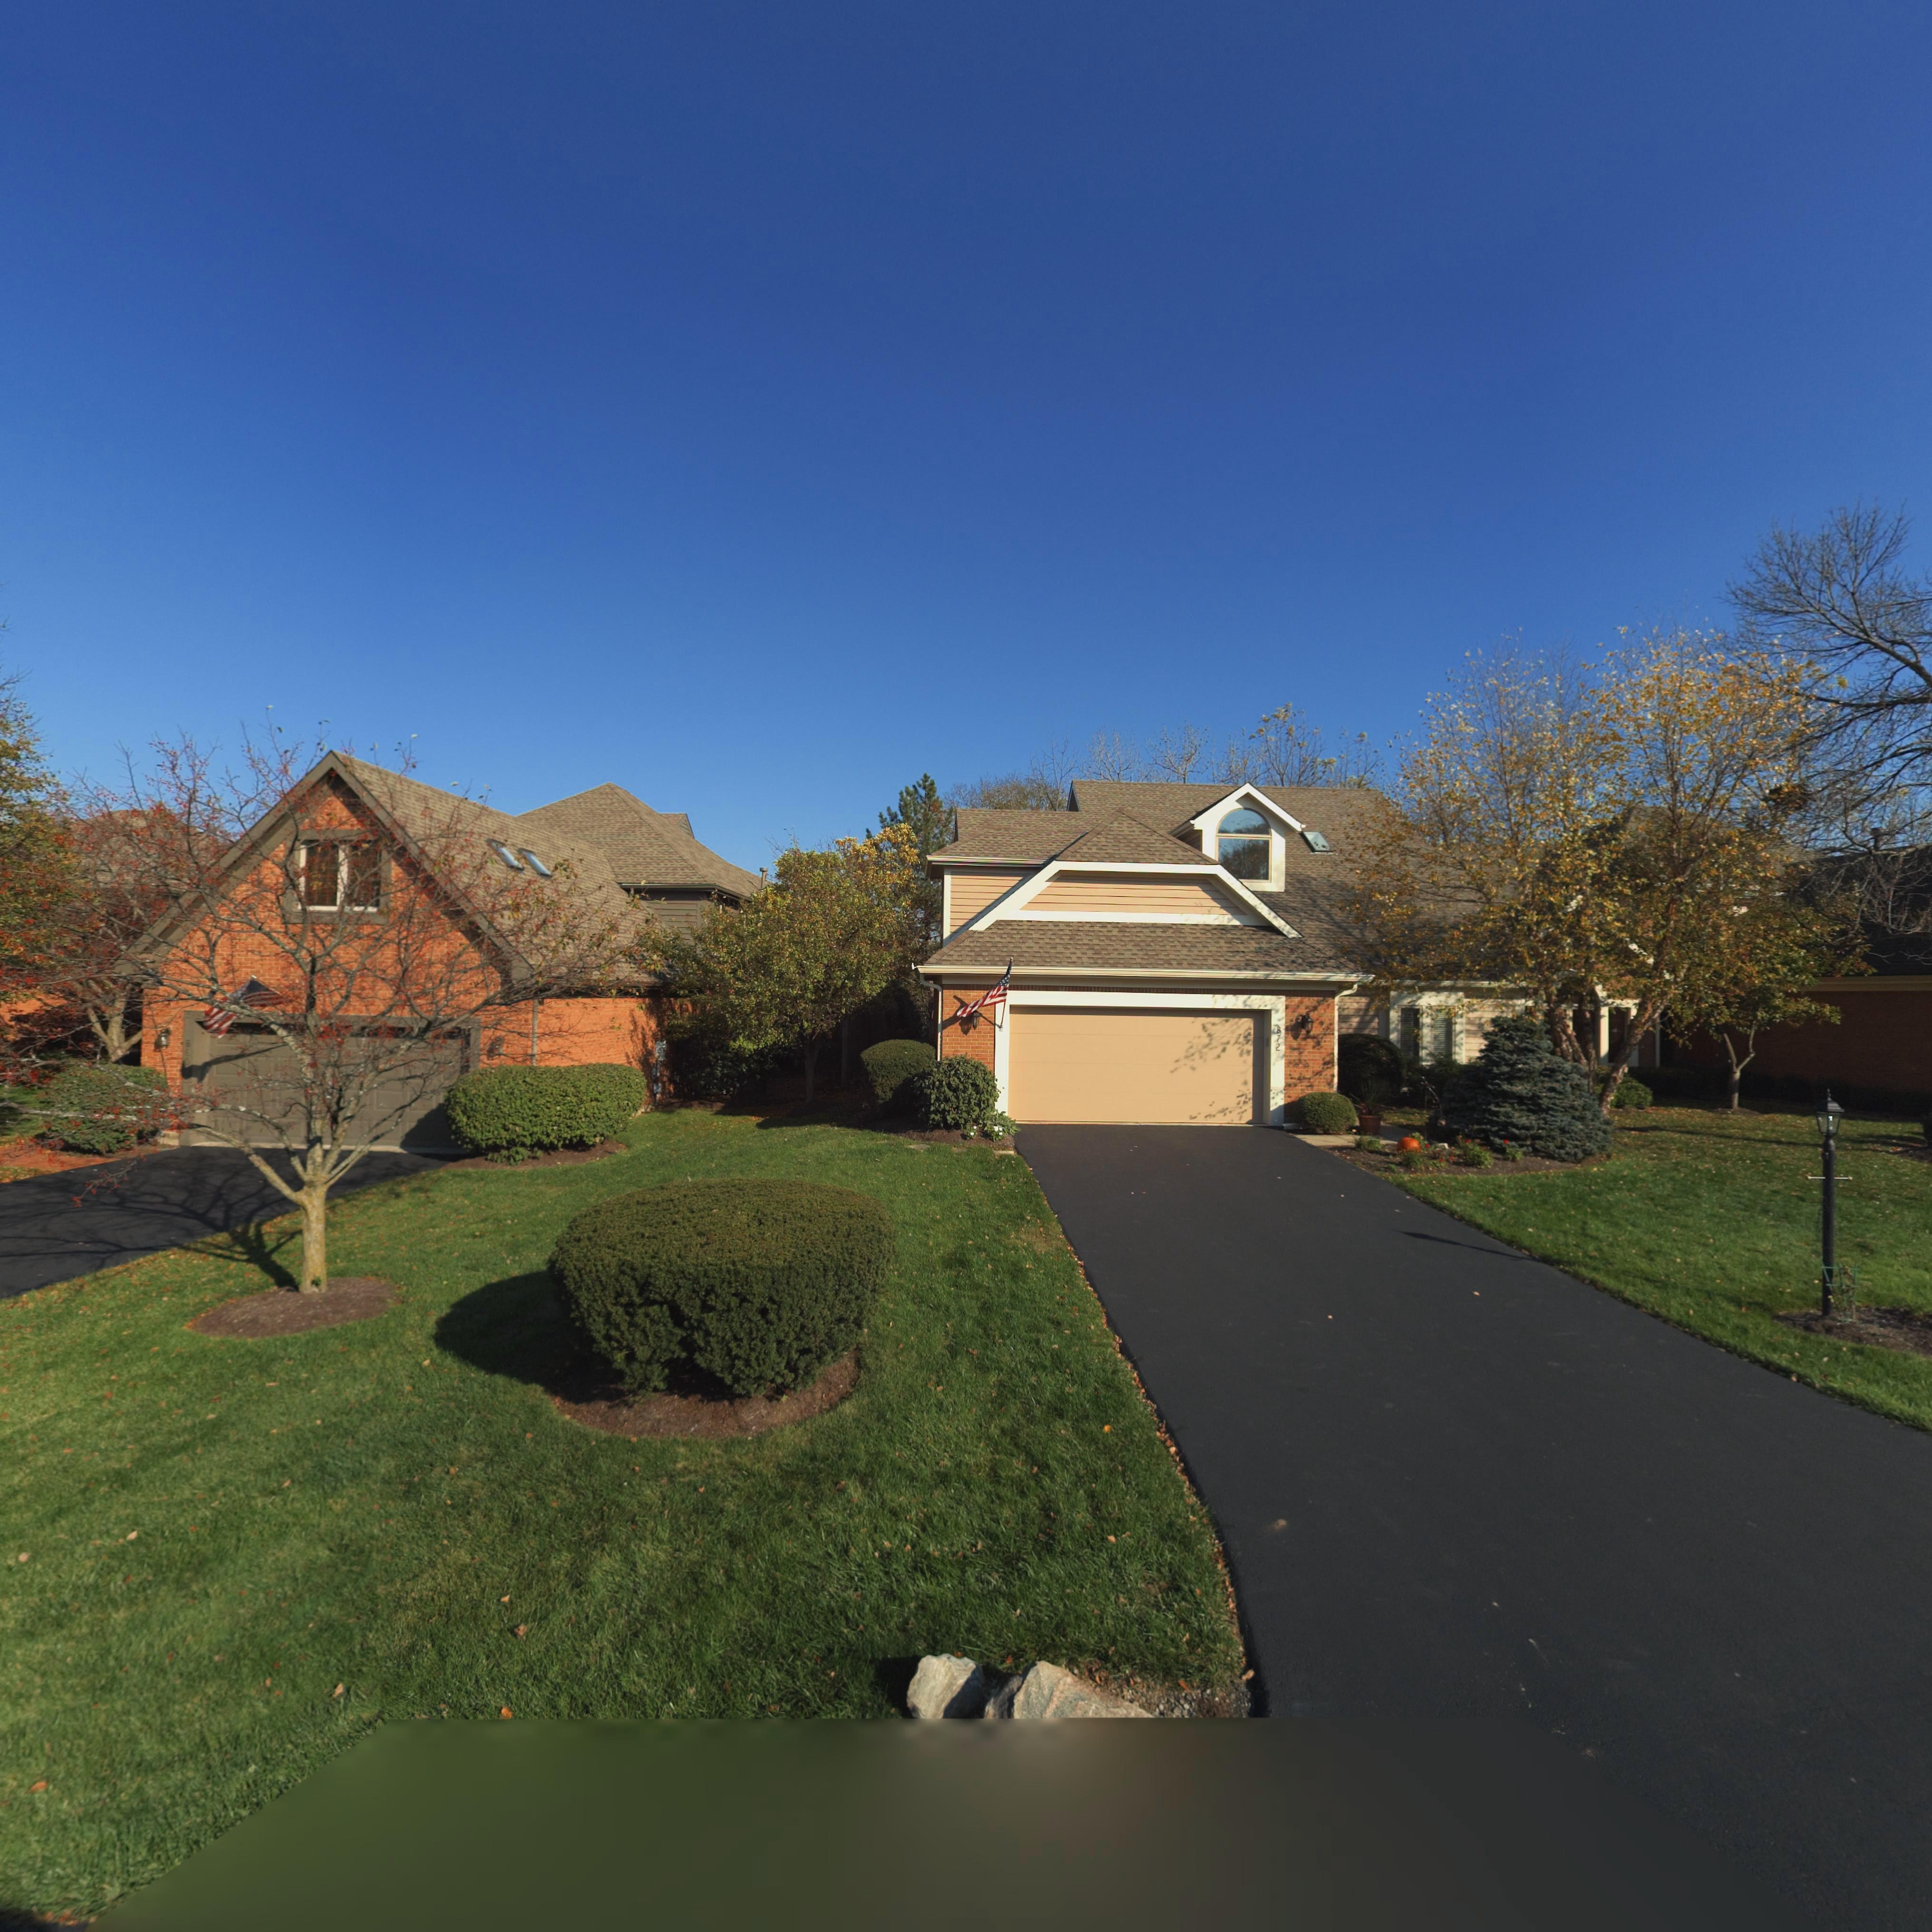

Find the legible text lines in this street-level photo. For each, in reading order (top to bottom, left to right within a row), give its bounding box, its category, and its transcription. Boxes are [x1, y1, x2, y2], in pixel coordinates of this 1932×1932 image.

[1274, 1024, 1283, 1053] StreetNumber: 872